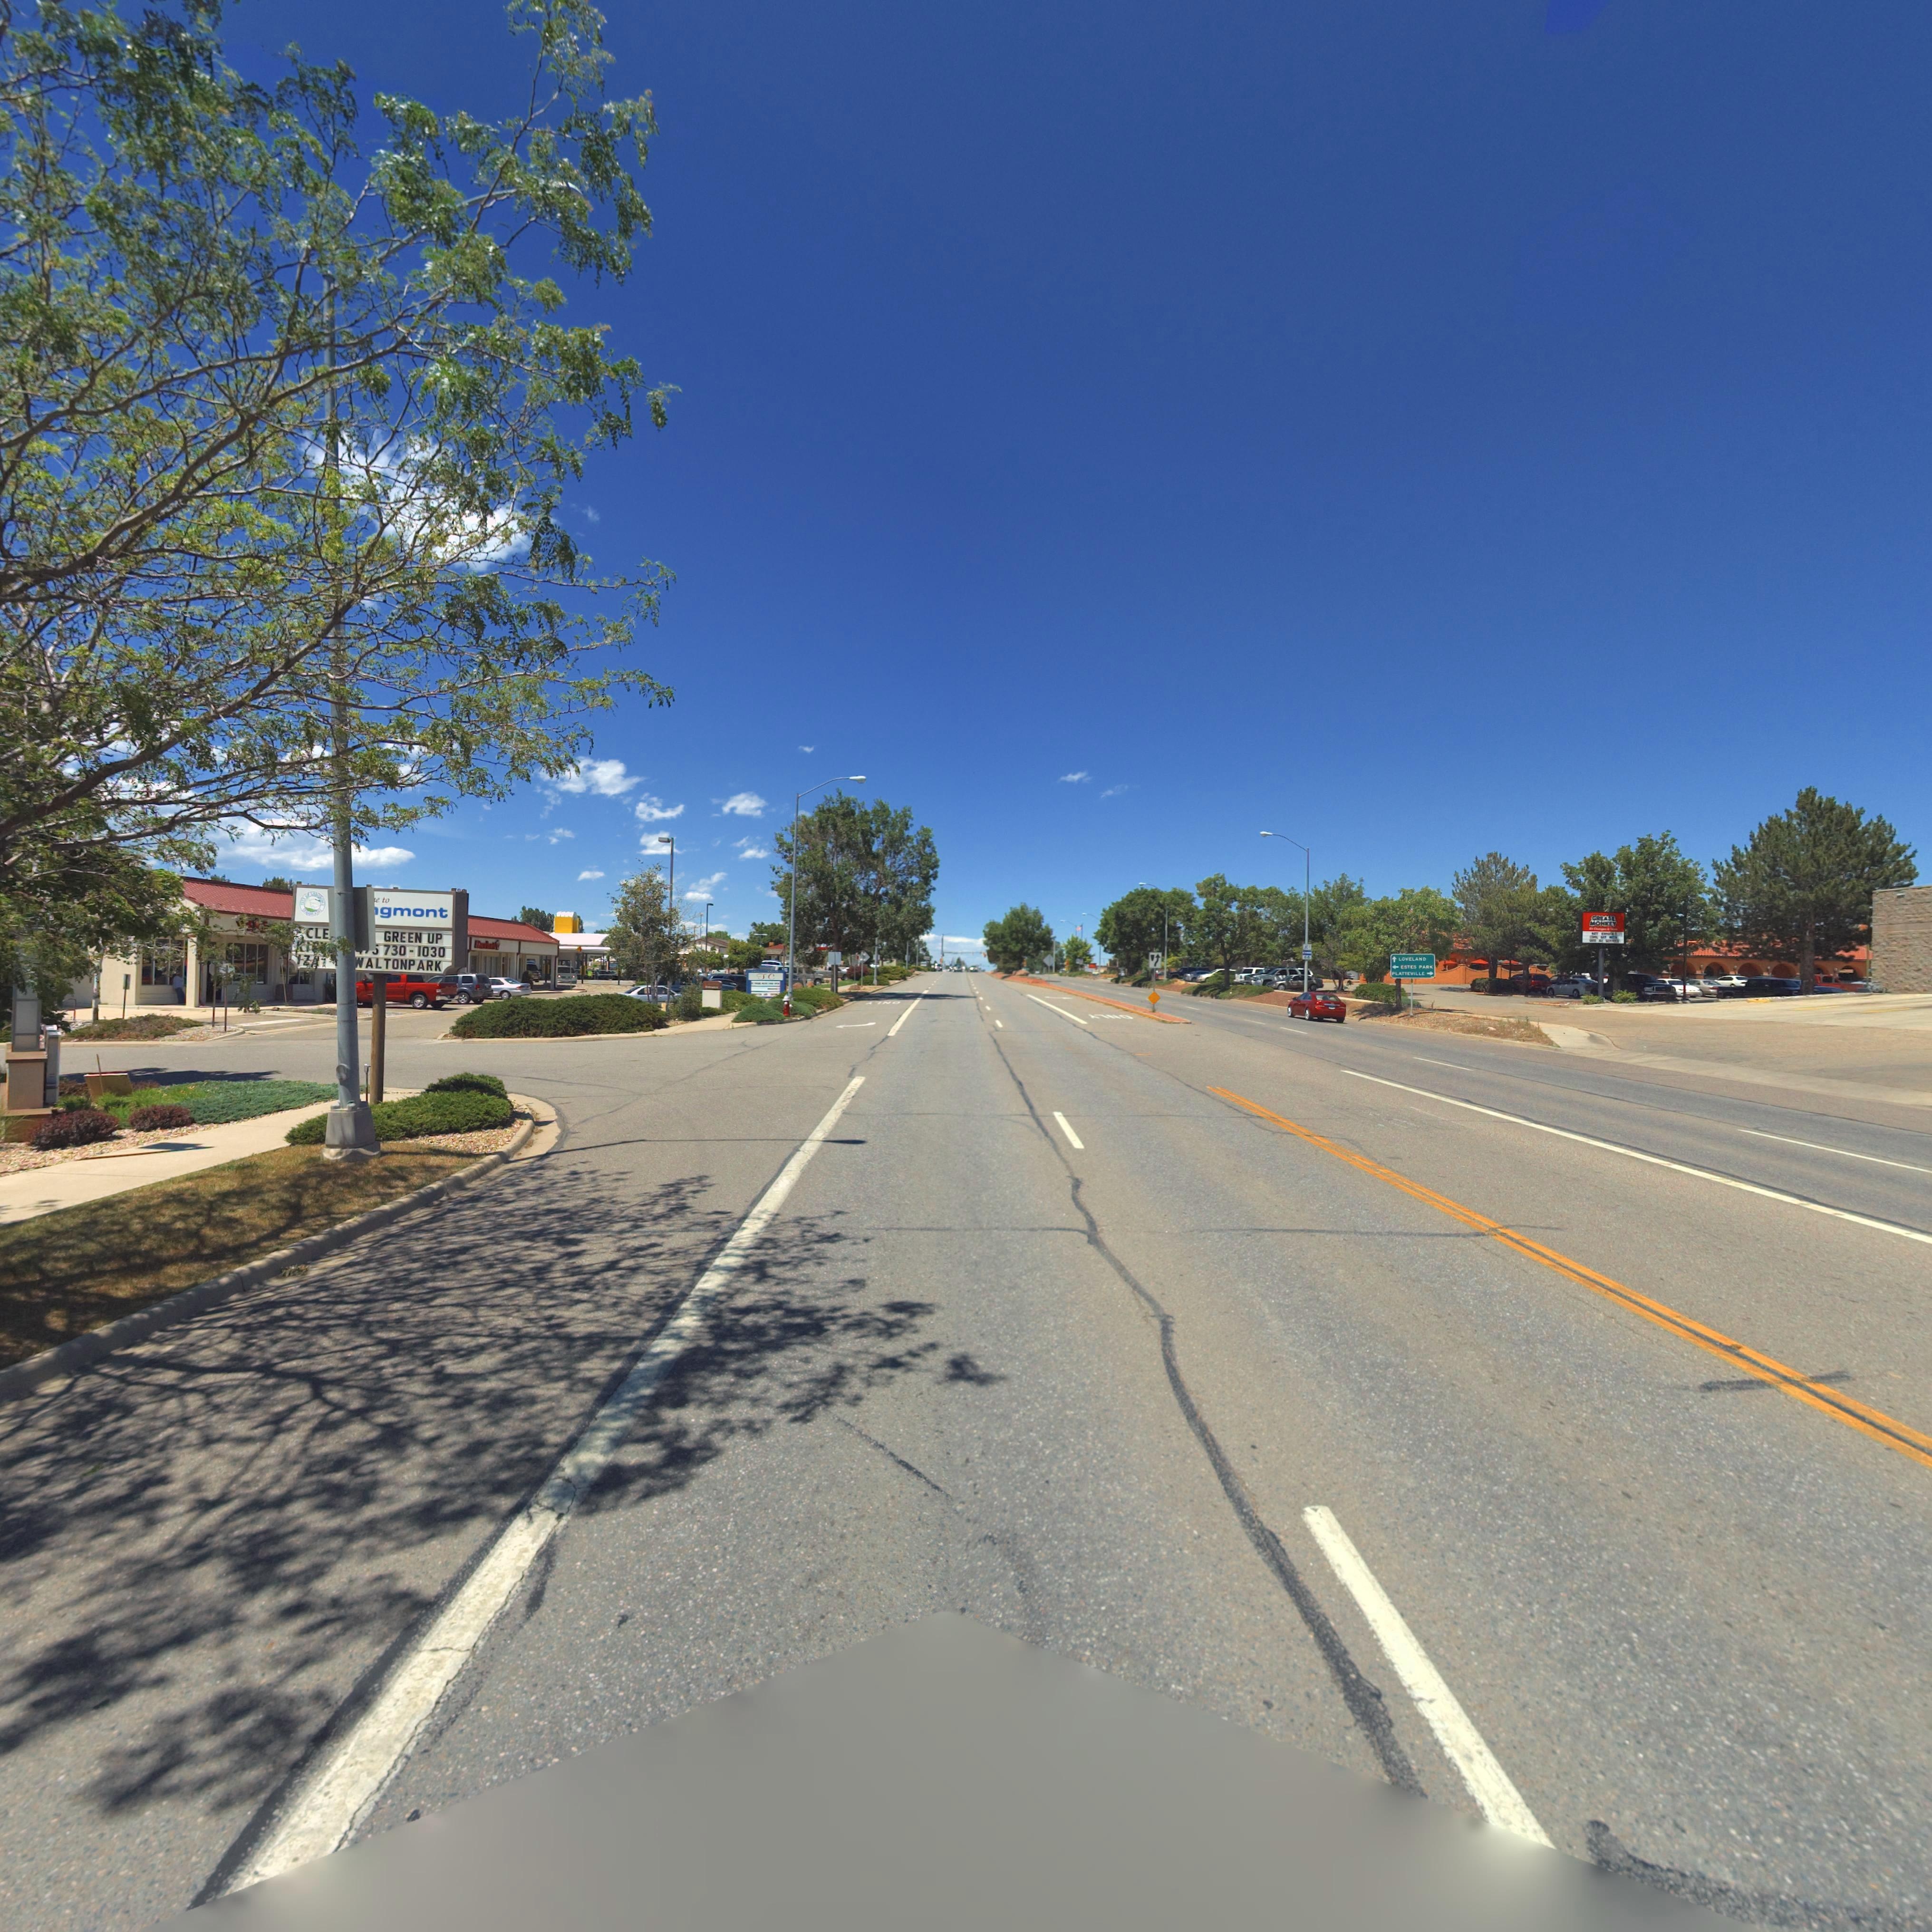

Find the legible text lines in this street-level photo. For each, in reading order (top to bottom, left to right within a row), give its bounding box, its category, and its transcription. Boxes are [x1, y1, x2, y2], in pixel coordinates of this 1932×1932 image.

[1592, 915, 1615, 921] BusinessName: GR*ASE
[1590, 921, 1617, 926] BusinessName: MO**EY
[474, 940, 496, 949] BusinessName: M*****